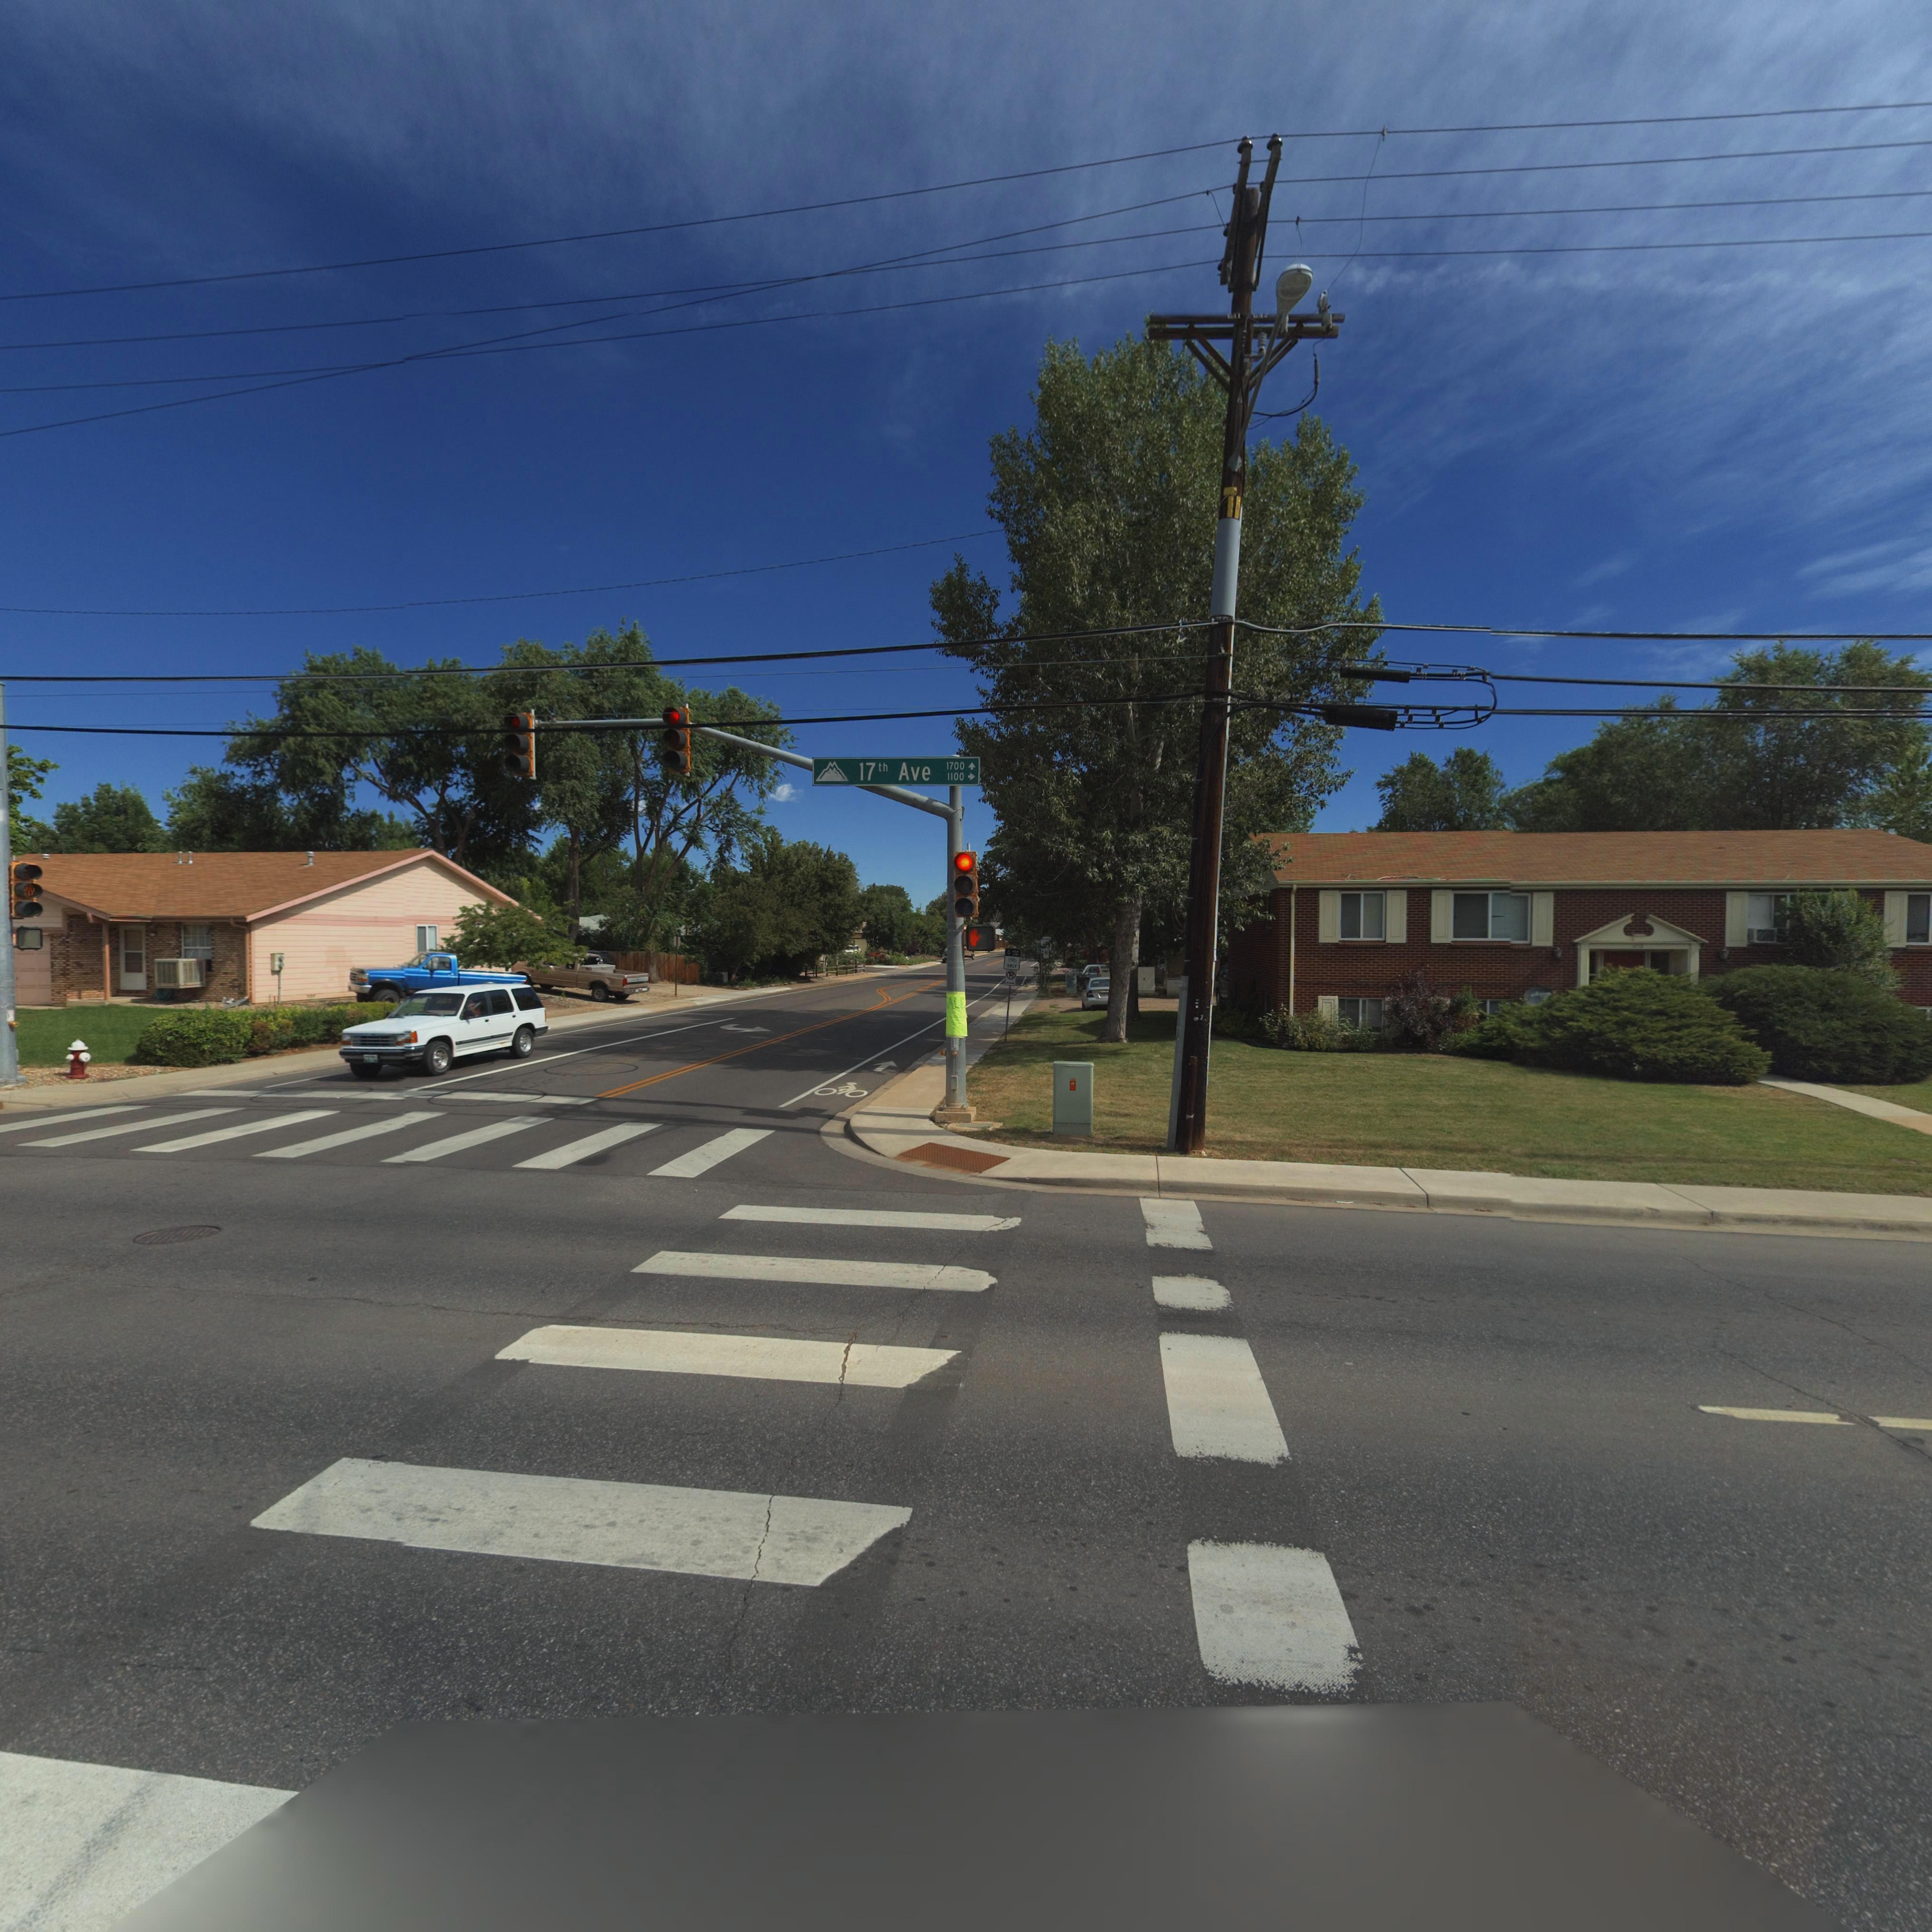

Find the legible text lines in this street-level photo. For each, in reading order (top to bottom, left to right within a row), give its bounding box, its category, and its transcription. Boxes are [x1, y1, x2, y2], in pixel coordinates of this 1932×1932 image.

[946, 761, 965, 770] StreetNumberRange: 1700
[859, 761, 931, 782] StreetName: 17th Ave
[947, 772, 976, 781] StreetNumberRange: 1100->
[1632, 943, 1644, 948] StreetNumber: 1112